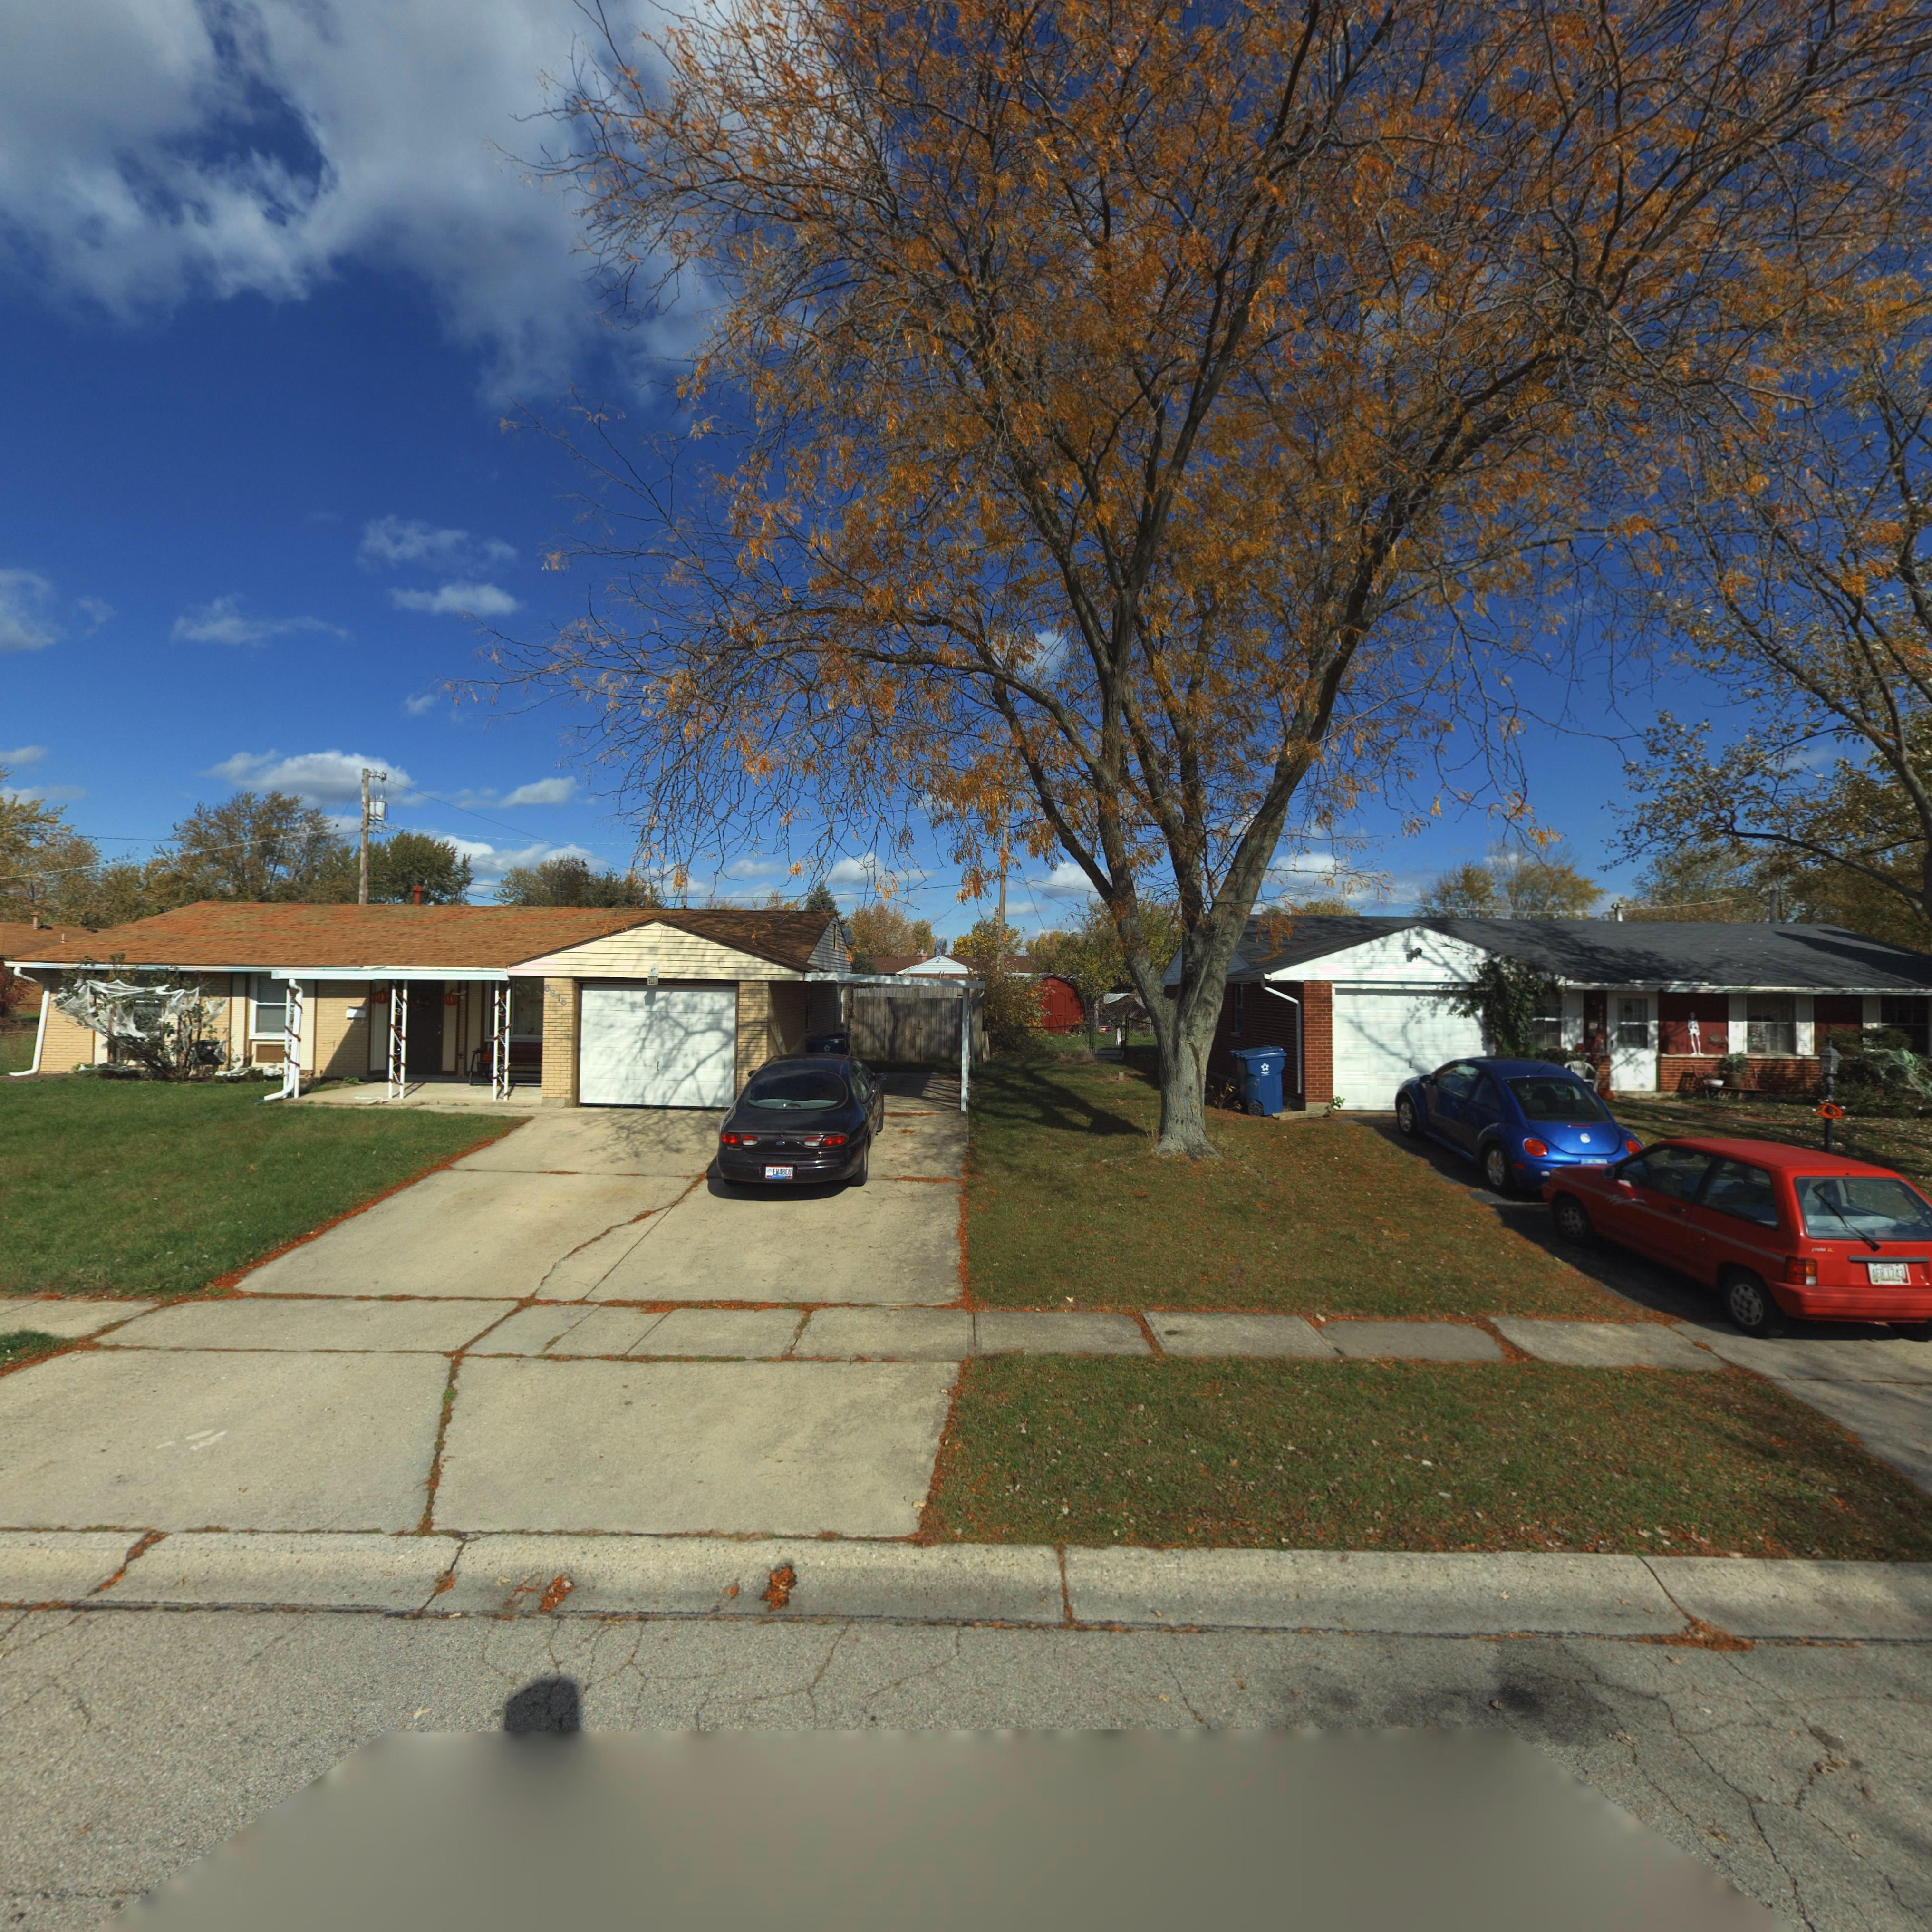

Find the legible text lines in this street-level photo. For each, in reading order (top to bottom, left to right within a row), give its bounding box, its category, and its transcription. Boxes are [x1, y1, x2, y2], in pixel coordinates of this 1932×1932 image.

[543, 983, 567, 1006] StreetNumber: 6615
[1598, 1003, 1604, 1031] StreetNumber: 6629